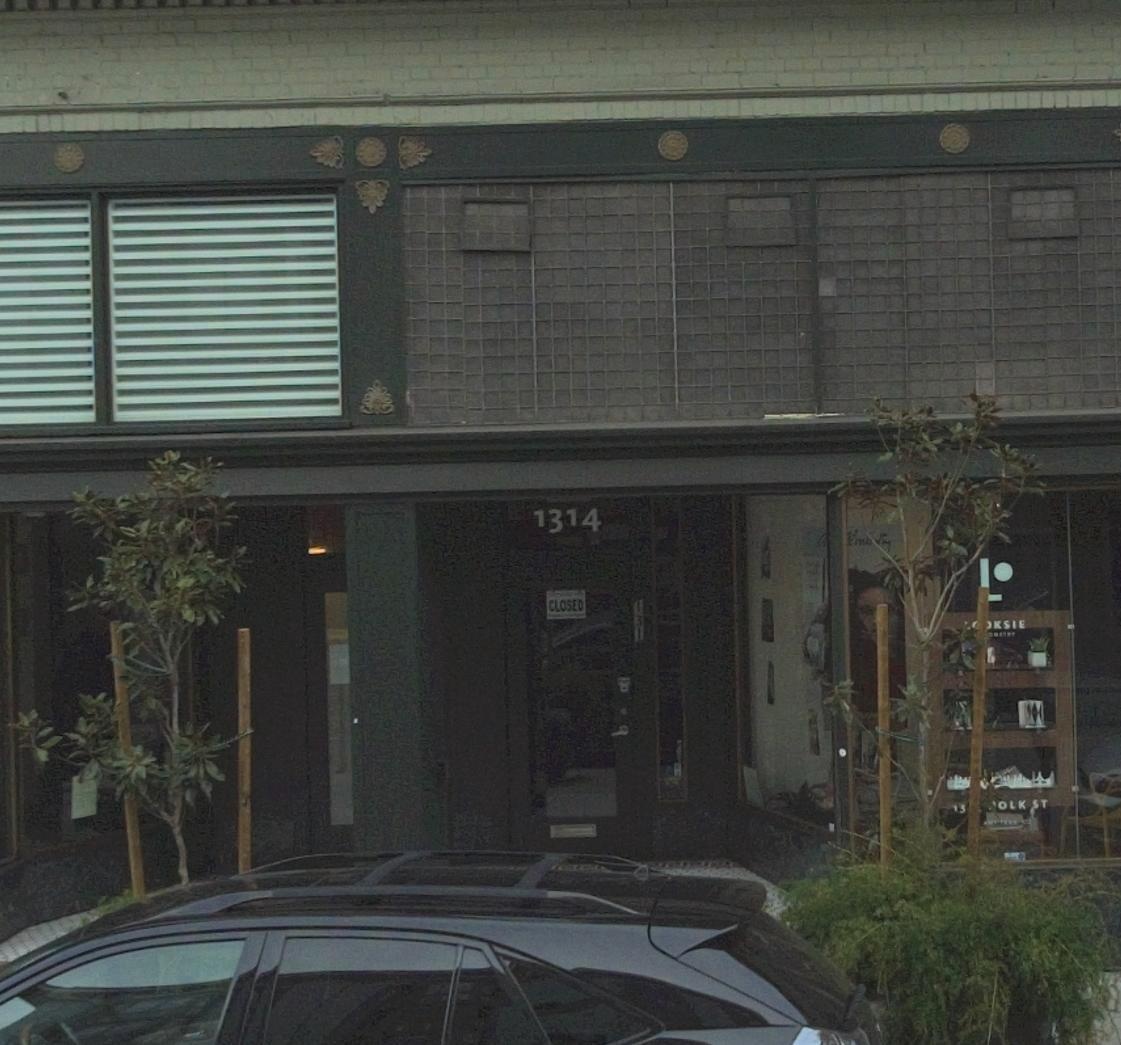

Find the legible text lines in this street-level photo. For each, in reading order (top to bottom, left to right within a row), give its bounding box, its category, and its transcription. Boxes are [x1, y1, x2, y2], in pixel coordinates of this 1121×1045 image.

[532, 506, 603, 534] StreetNumber: 1314
[548, 599, 584, 612] None: CLOSED
[635, 598, 643, 643] None: 131
[963, 619, 1027, 631] BusinessName: ***KSIE
[951, 801, 983, 815] StreetNumber: 13**
[985, 798, 1049, 811] StreetName: *OLK ST